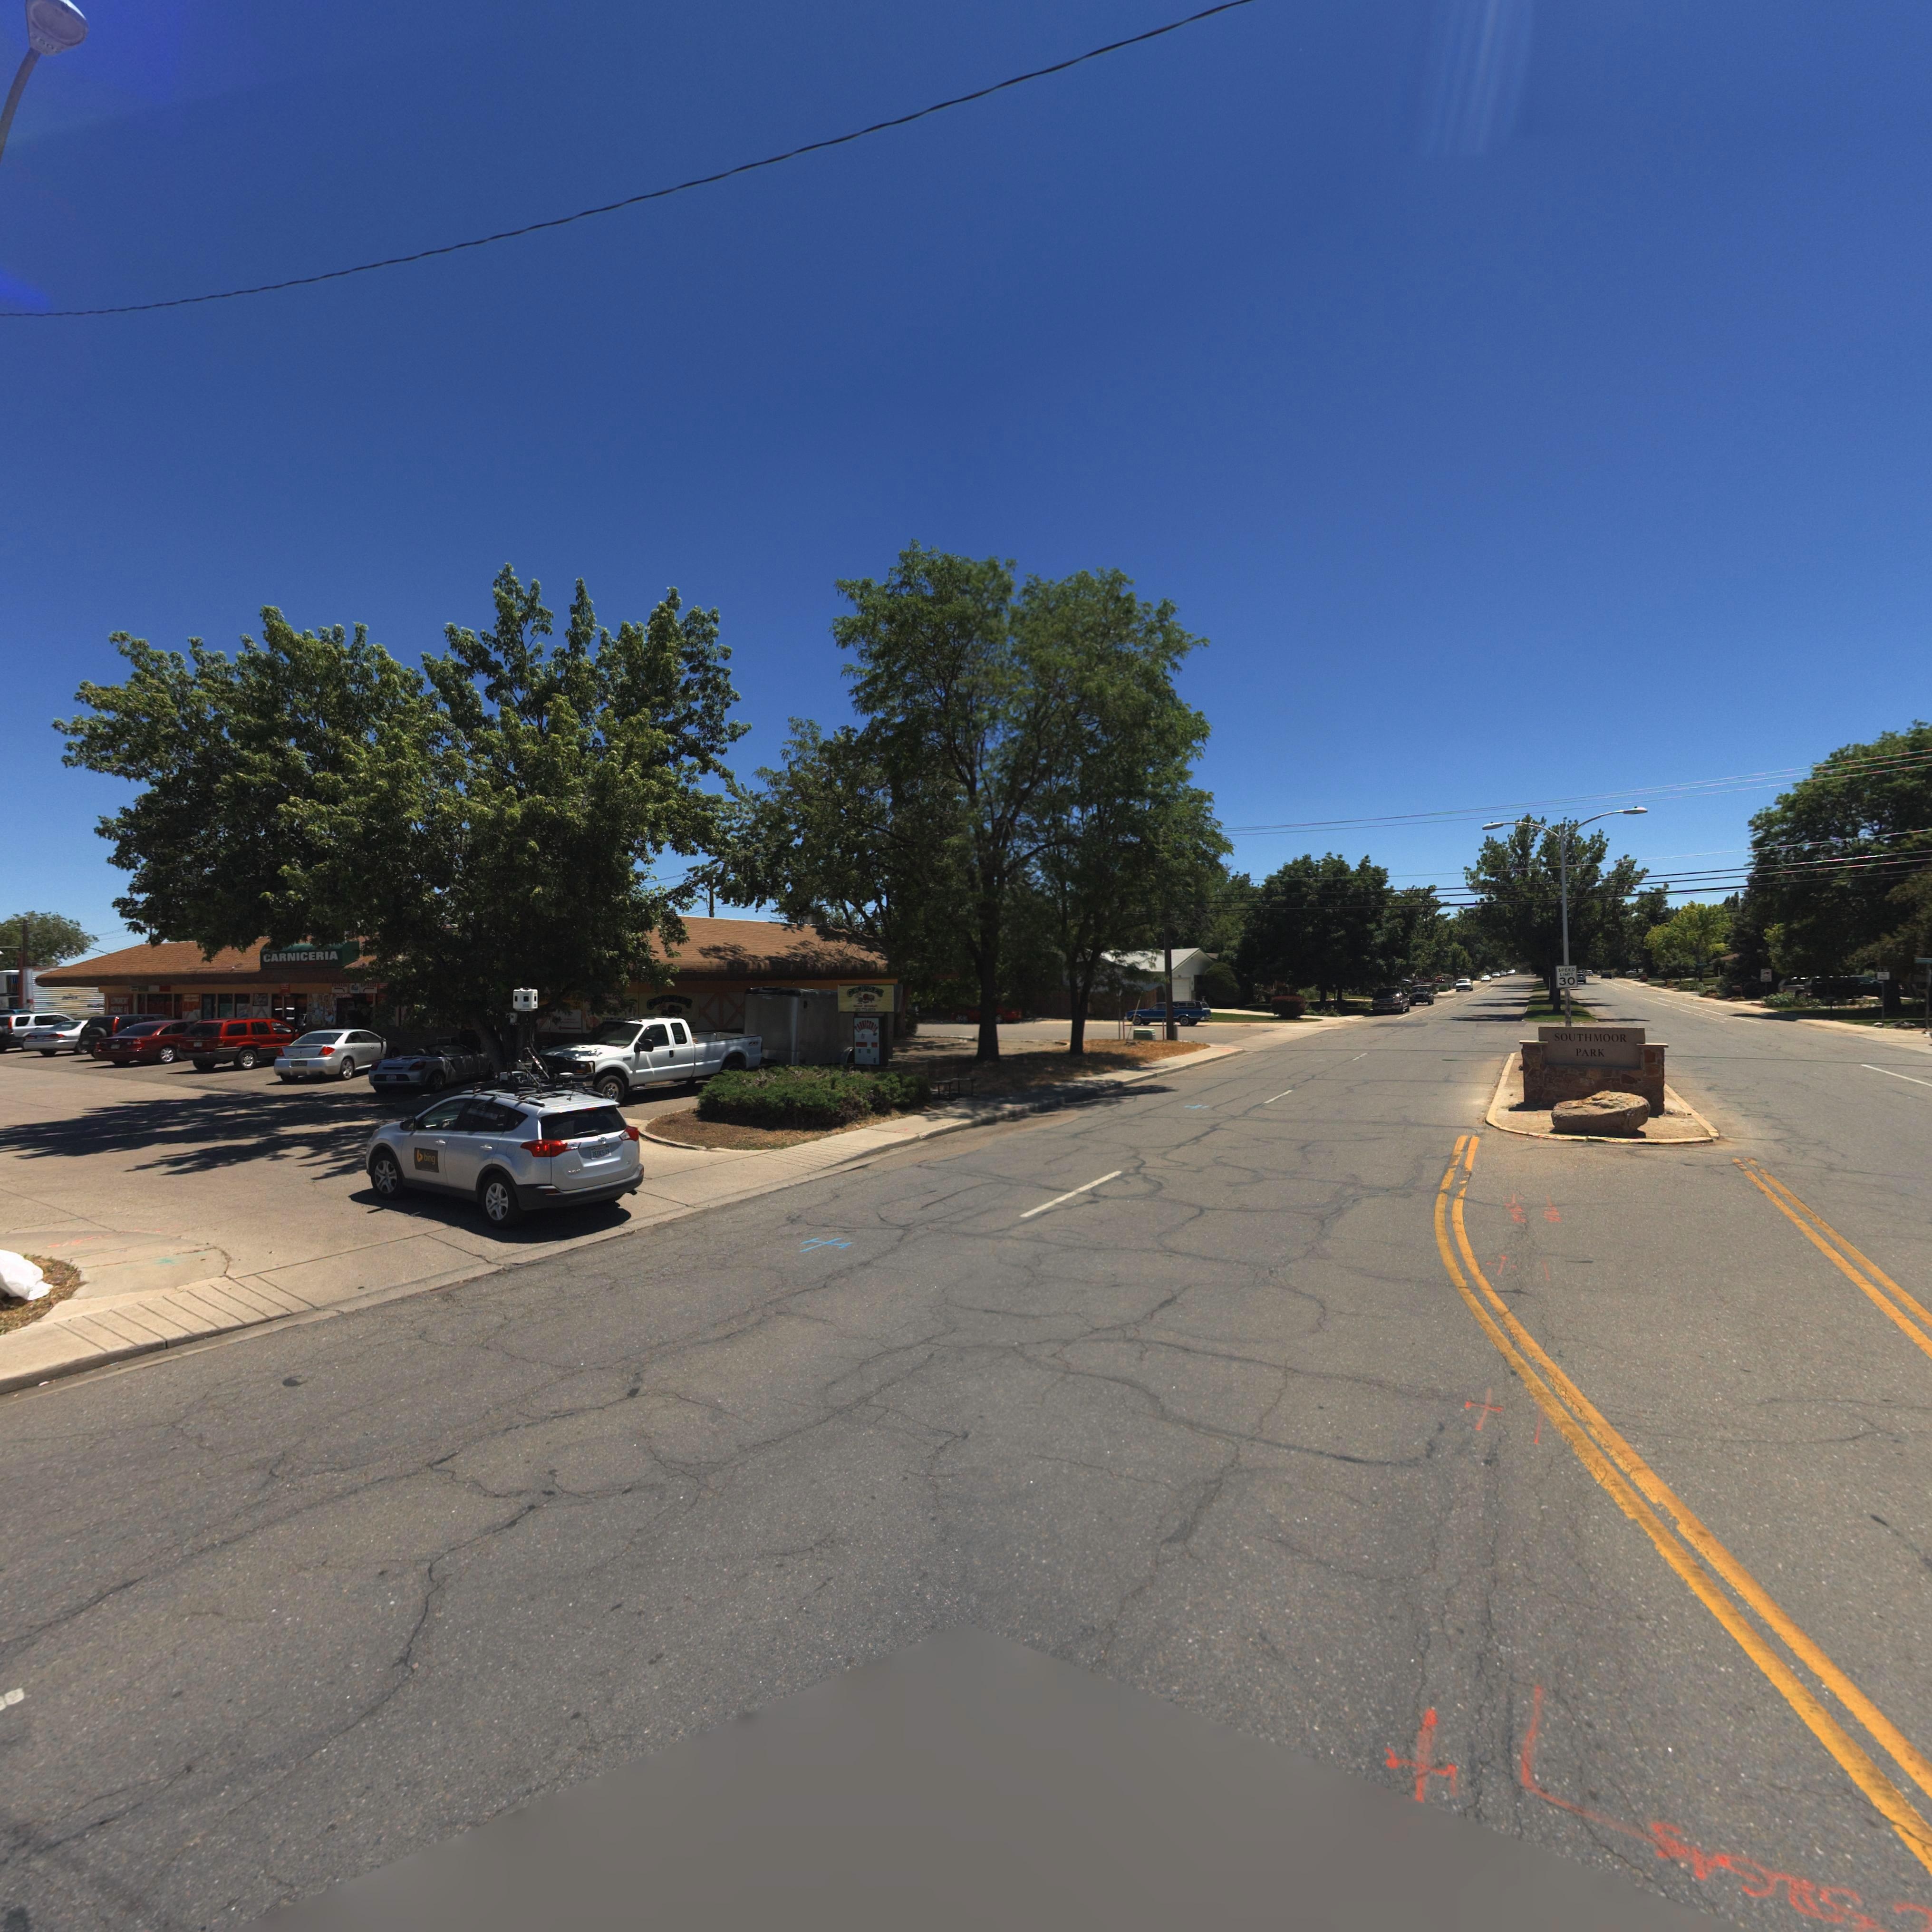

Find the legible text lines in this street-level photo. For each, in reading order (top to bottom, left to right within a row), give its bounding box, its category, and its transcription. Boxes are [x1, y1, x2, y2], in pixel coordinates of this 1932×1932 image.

[846, 985, 884, 998] BusinessName: GUACAMOLE'S
[645, 994, 693, 1010] BusinessName: GUACAMOLE'S
[853, 1019, 879, 1034] BusinessName: GUACAMOLE'S